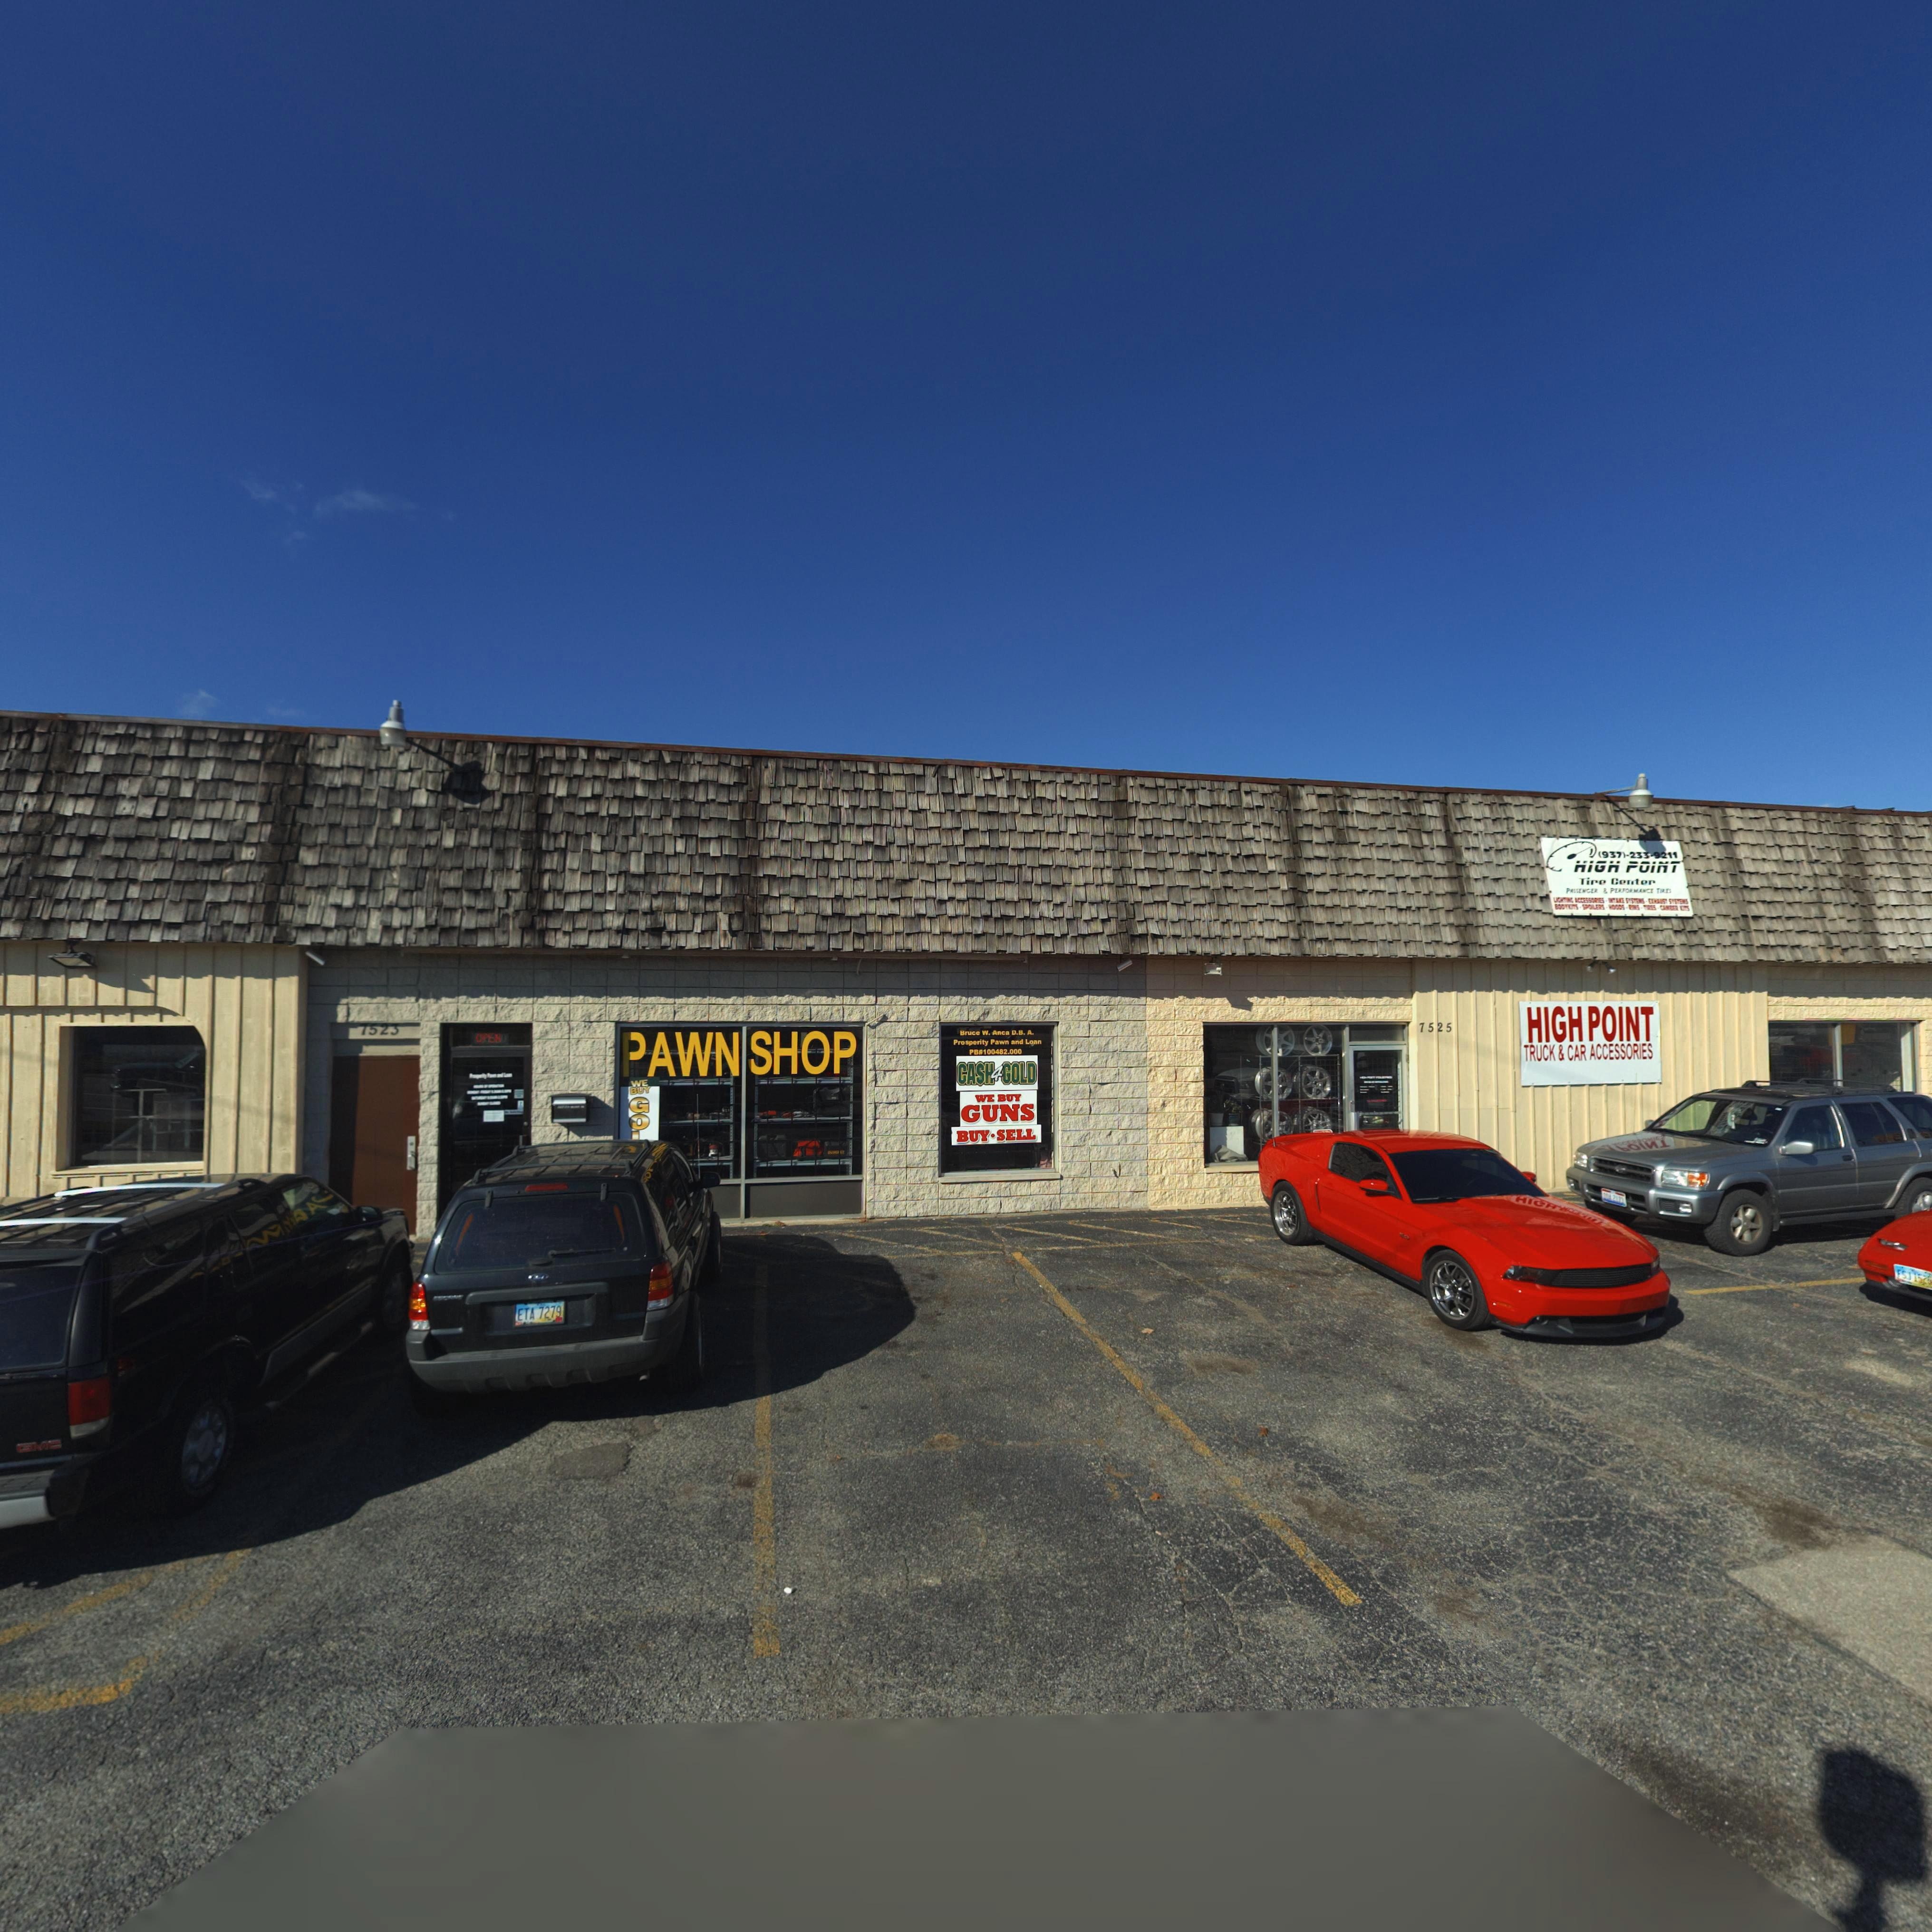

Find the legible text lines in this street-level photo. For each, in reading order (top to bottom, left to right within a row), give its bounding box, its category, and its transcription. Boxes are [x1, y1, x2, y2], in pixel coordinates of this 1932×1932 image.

[1573, 860, 1682, 873] BusinessName: HIGH POINT
[359, 1023, 400, 1036] StreetNumber: 7523
[1419, 1022, 1452, 1033] StreetNumber: 7525
[1526, 1005, 1655, 1044] BusinessName: HIGH POINT
[953, 1038, 1042, 1047] None: \
[955, 1061, 1038, 1086] BusinessName: CASH4GOLD